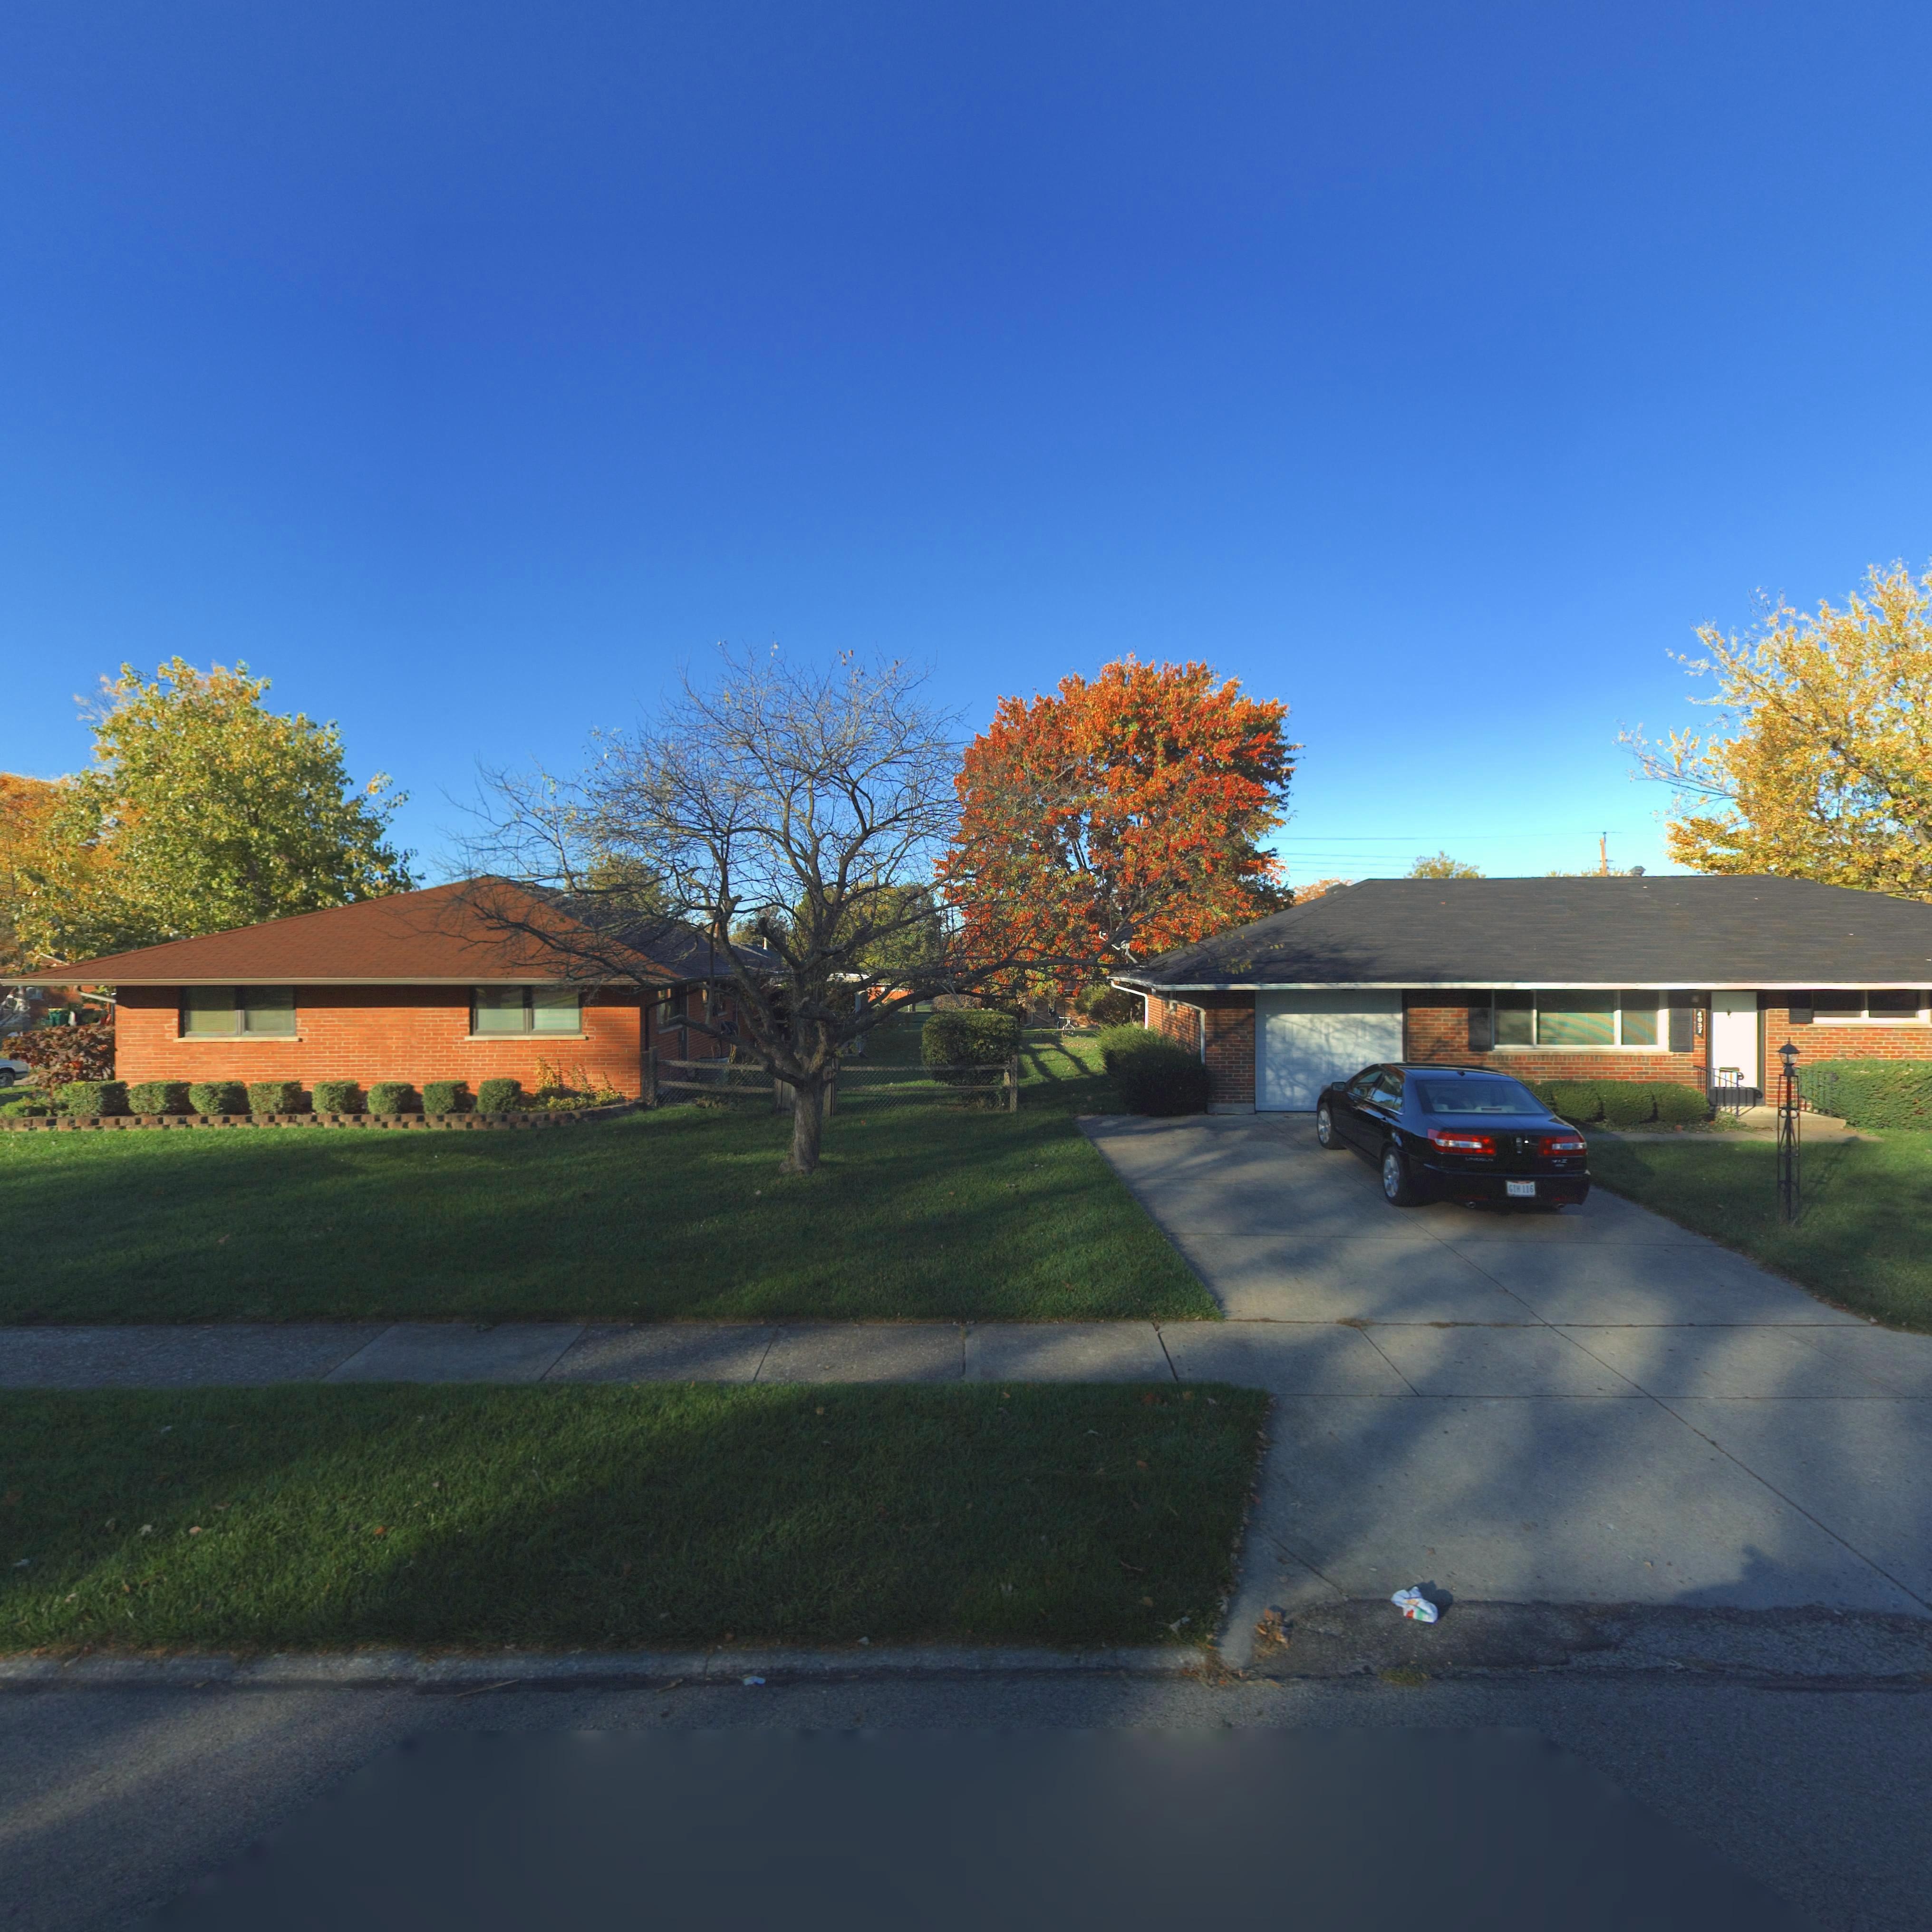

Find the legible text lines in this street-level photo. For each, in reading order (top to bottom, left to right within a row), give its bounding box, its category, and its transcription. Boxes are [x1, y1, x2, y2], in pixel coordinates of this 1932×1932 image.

[1697, 1011, 1703, 1034] StreetNumber: 4057